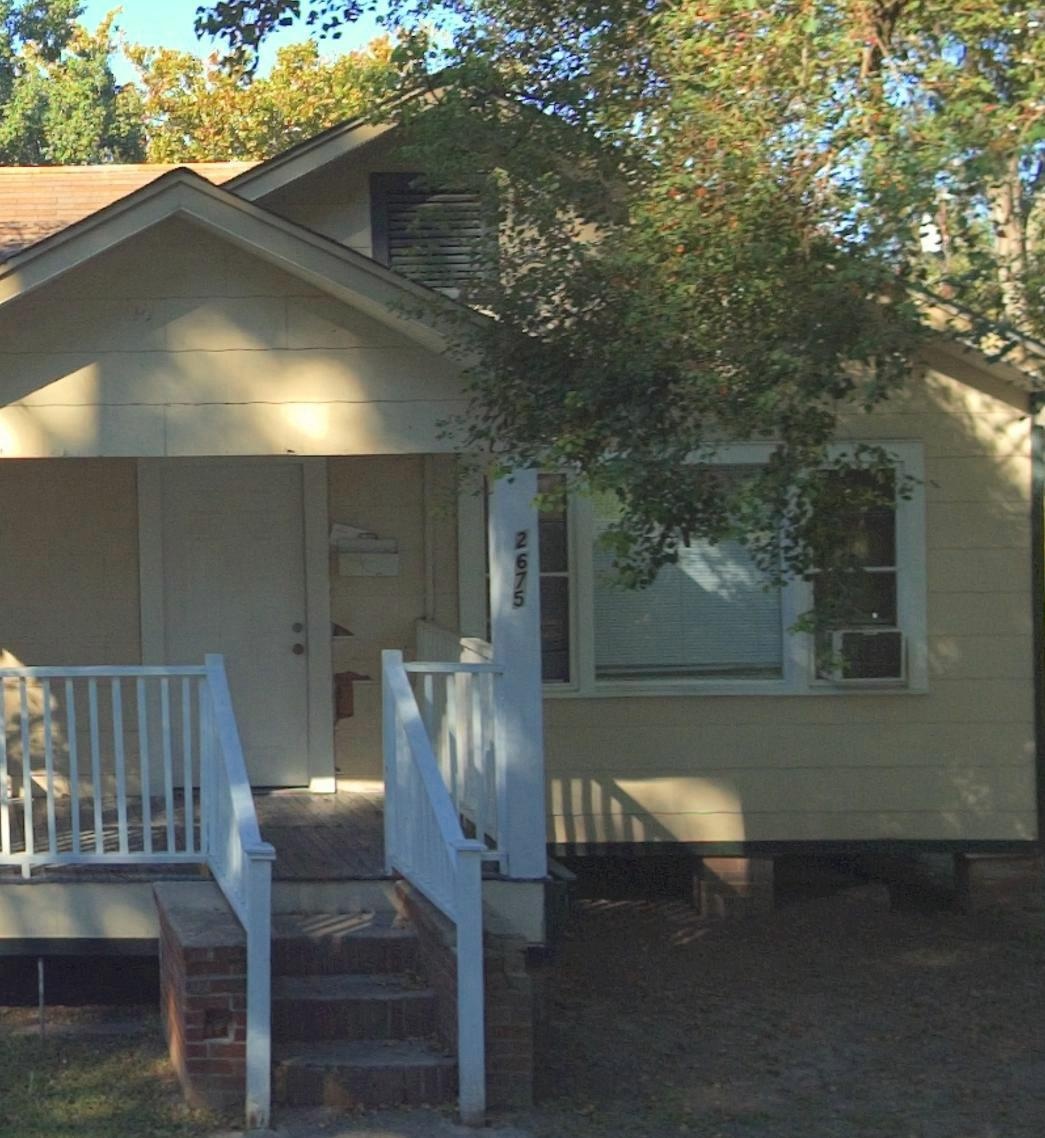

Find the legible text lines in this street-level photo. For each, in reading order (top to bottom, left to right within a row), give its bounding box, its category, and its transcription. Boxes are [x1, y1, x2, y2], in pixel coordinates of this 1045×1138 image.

[512, 529, 529, 609] StreetNumber: 2675